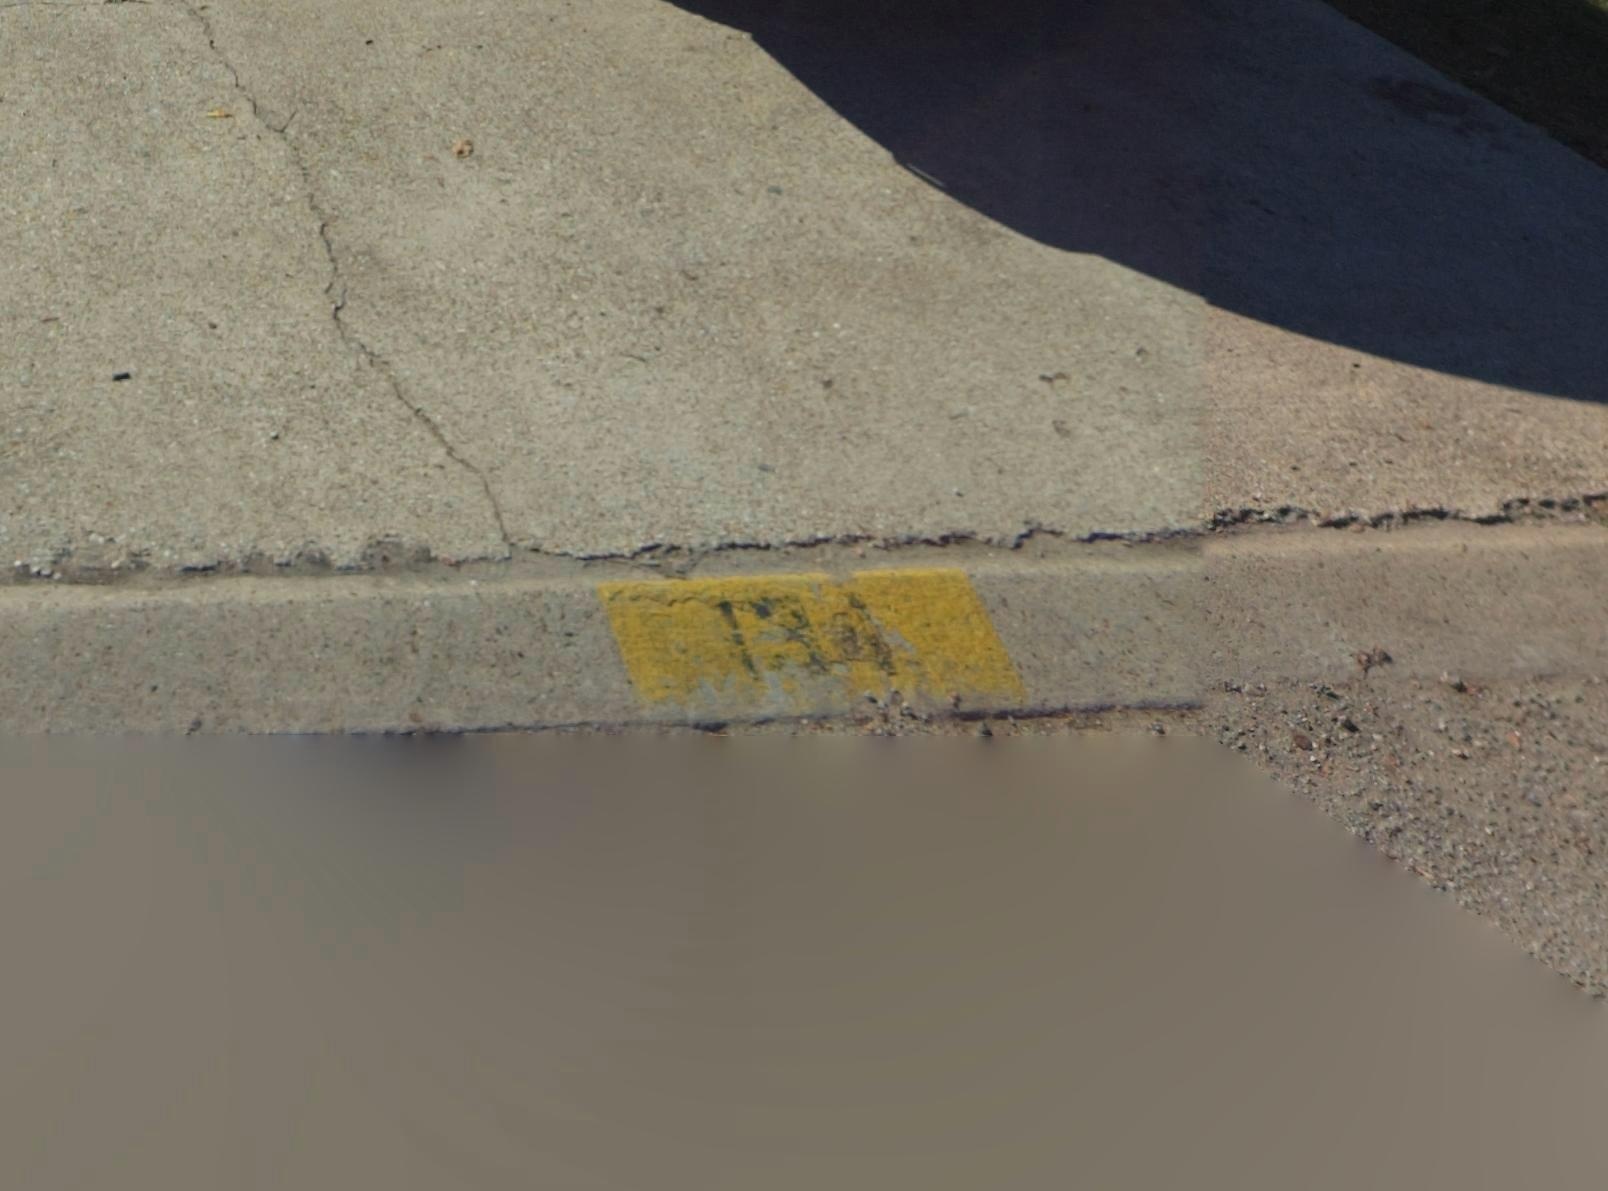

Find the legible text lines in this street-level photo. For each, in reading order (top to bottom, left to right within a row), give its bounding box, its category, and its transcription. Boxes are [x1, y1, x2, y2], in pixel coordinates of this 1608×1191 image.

[706, 588, 902, 685] StreetNumber: 134